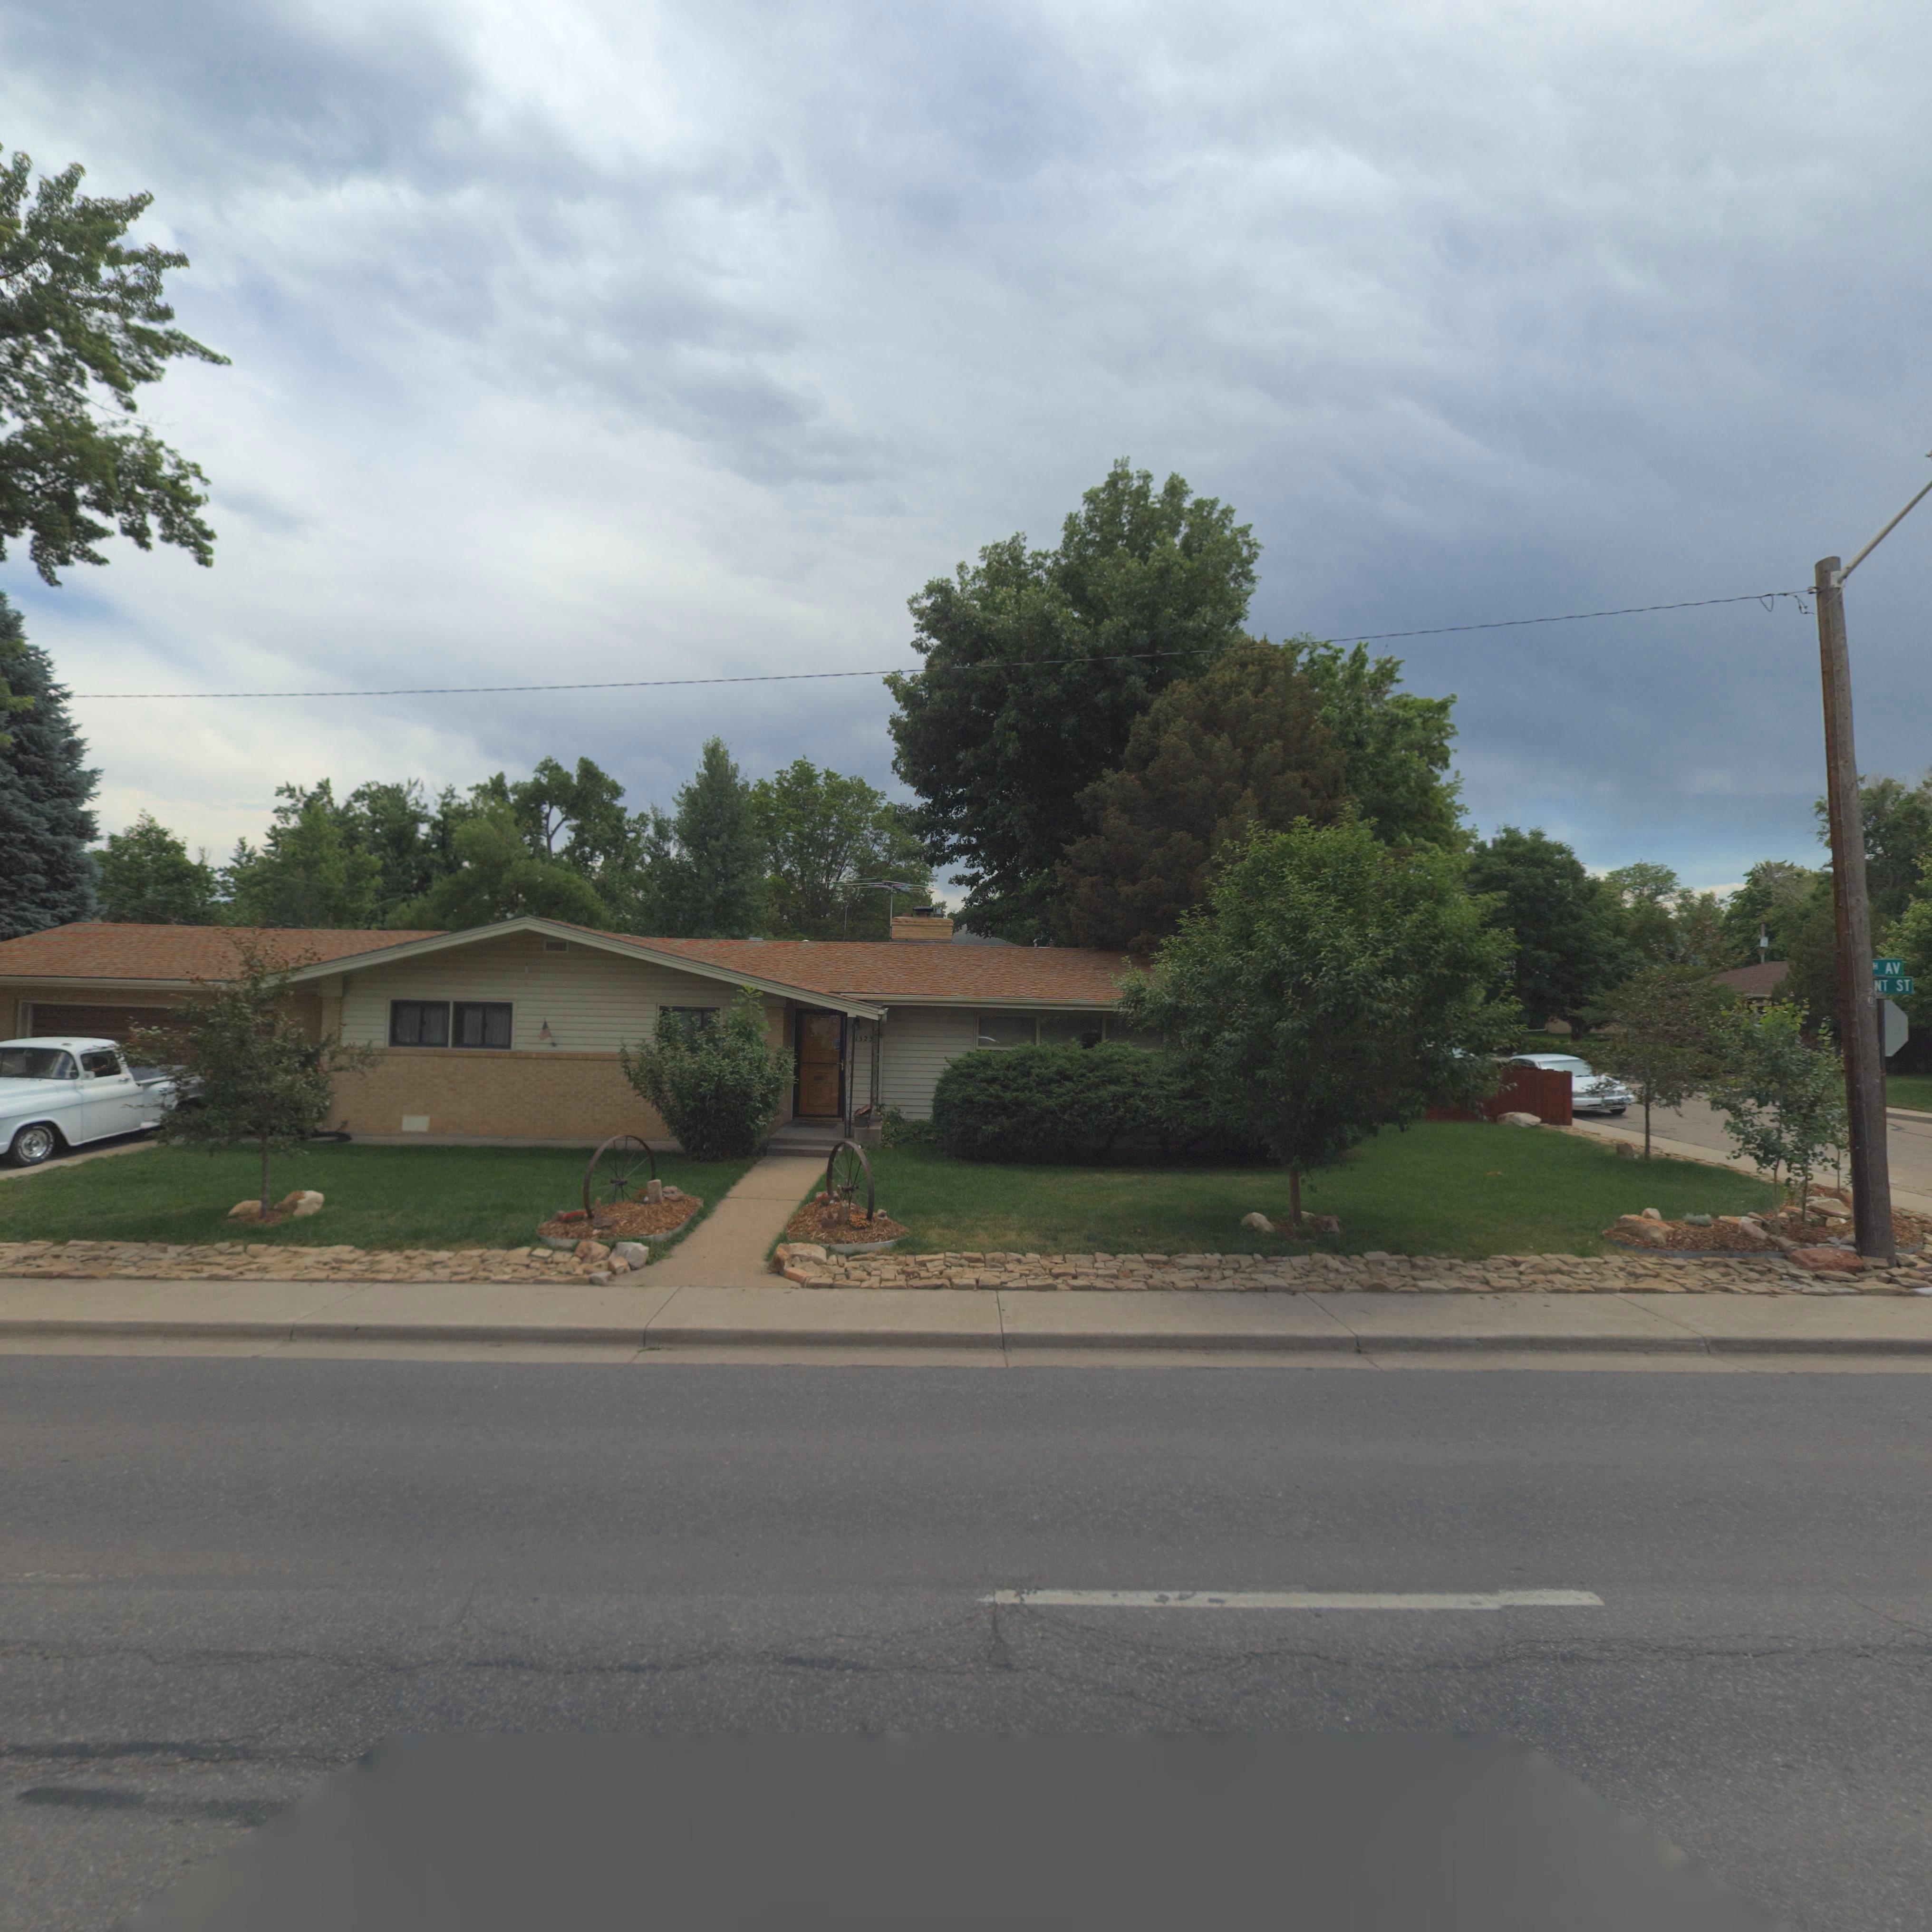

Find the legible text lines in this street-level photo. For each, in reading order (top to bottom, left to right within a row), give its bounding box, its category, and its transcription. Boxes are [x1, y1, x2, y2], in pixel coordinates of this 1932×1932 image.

[1872, 961, 1902, 976] StreetName: H AV
[1874, 978, 1911, 992] StreetName: NT ST
[854, 1035, 873, 1042] StreetNumber: 1323